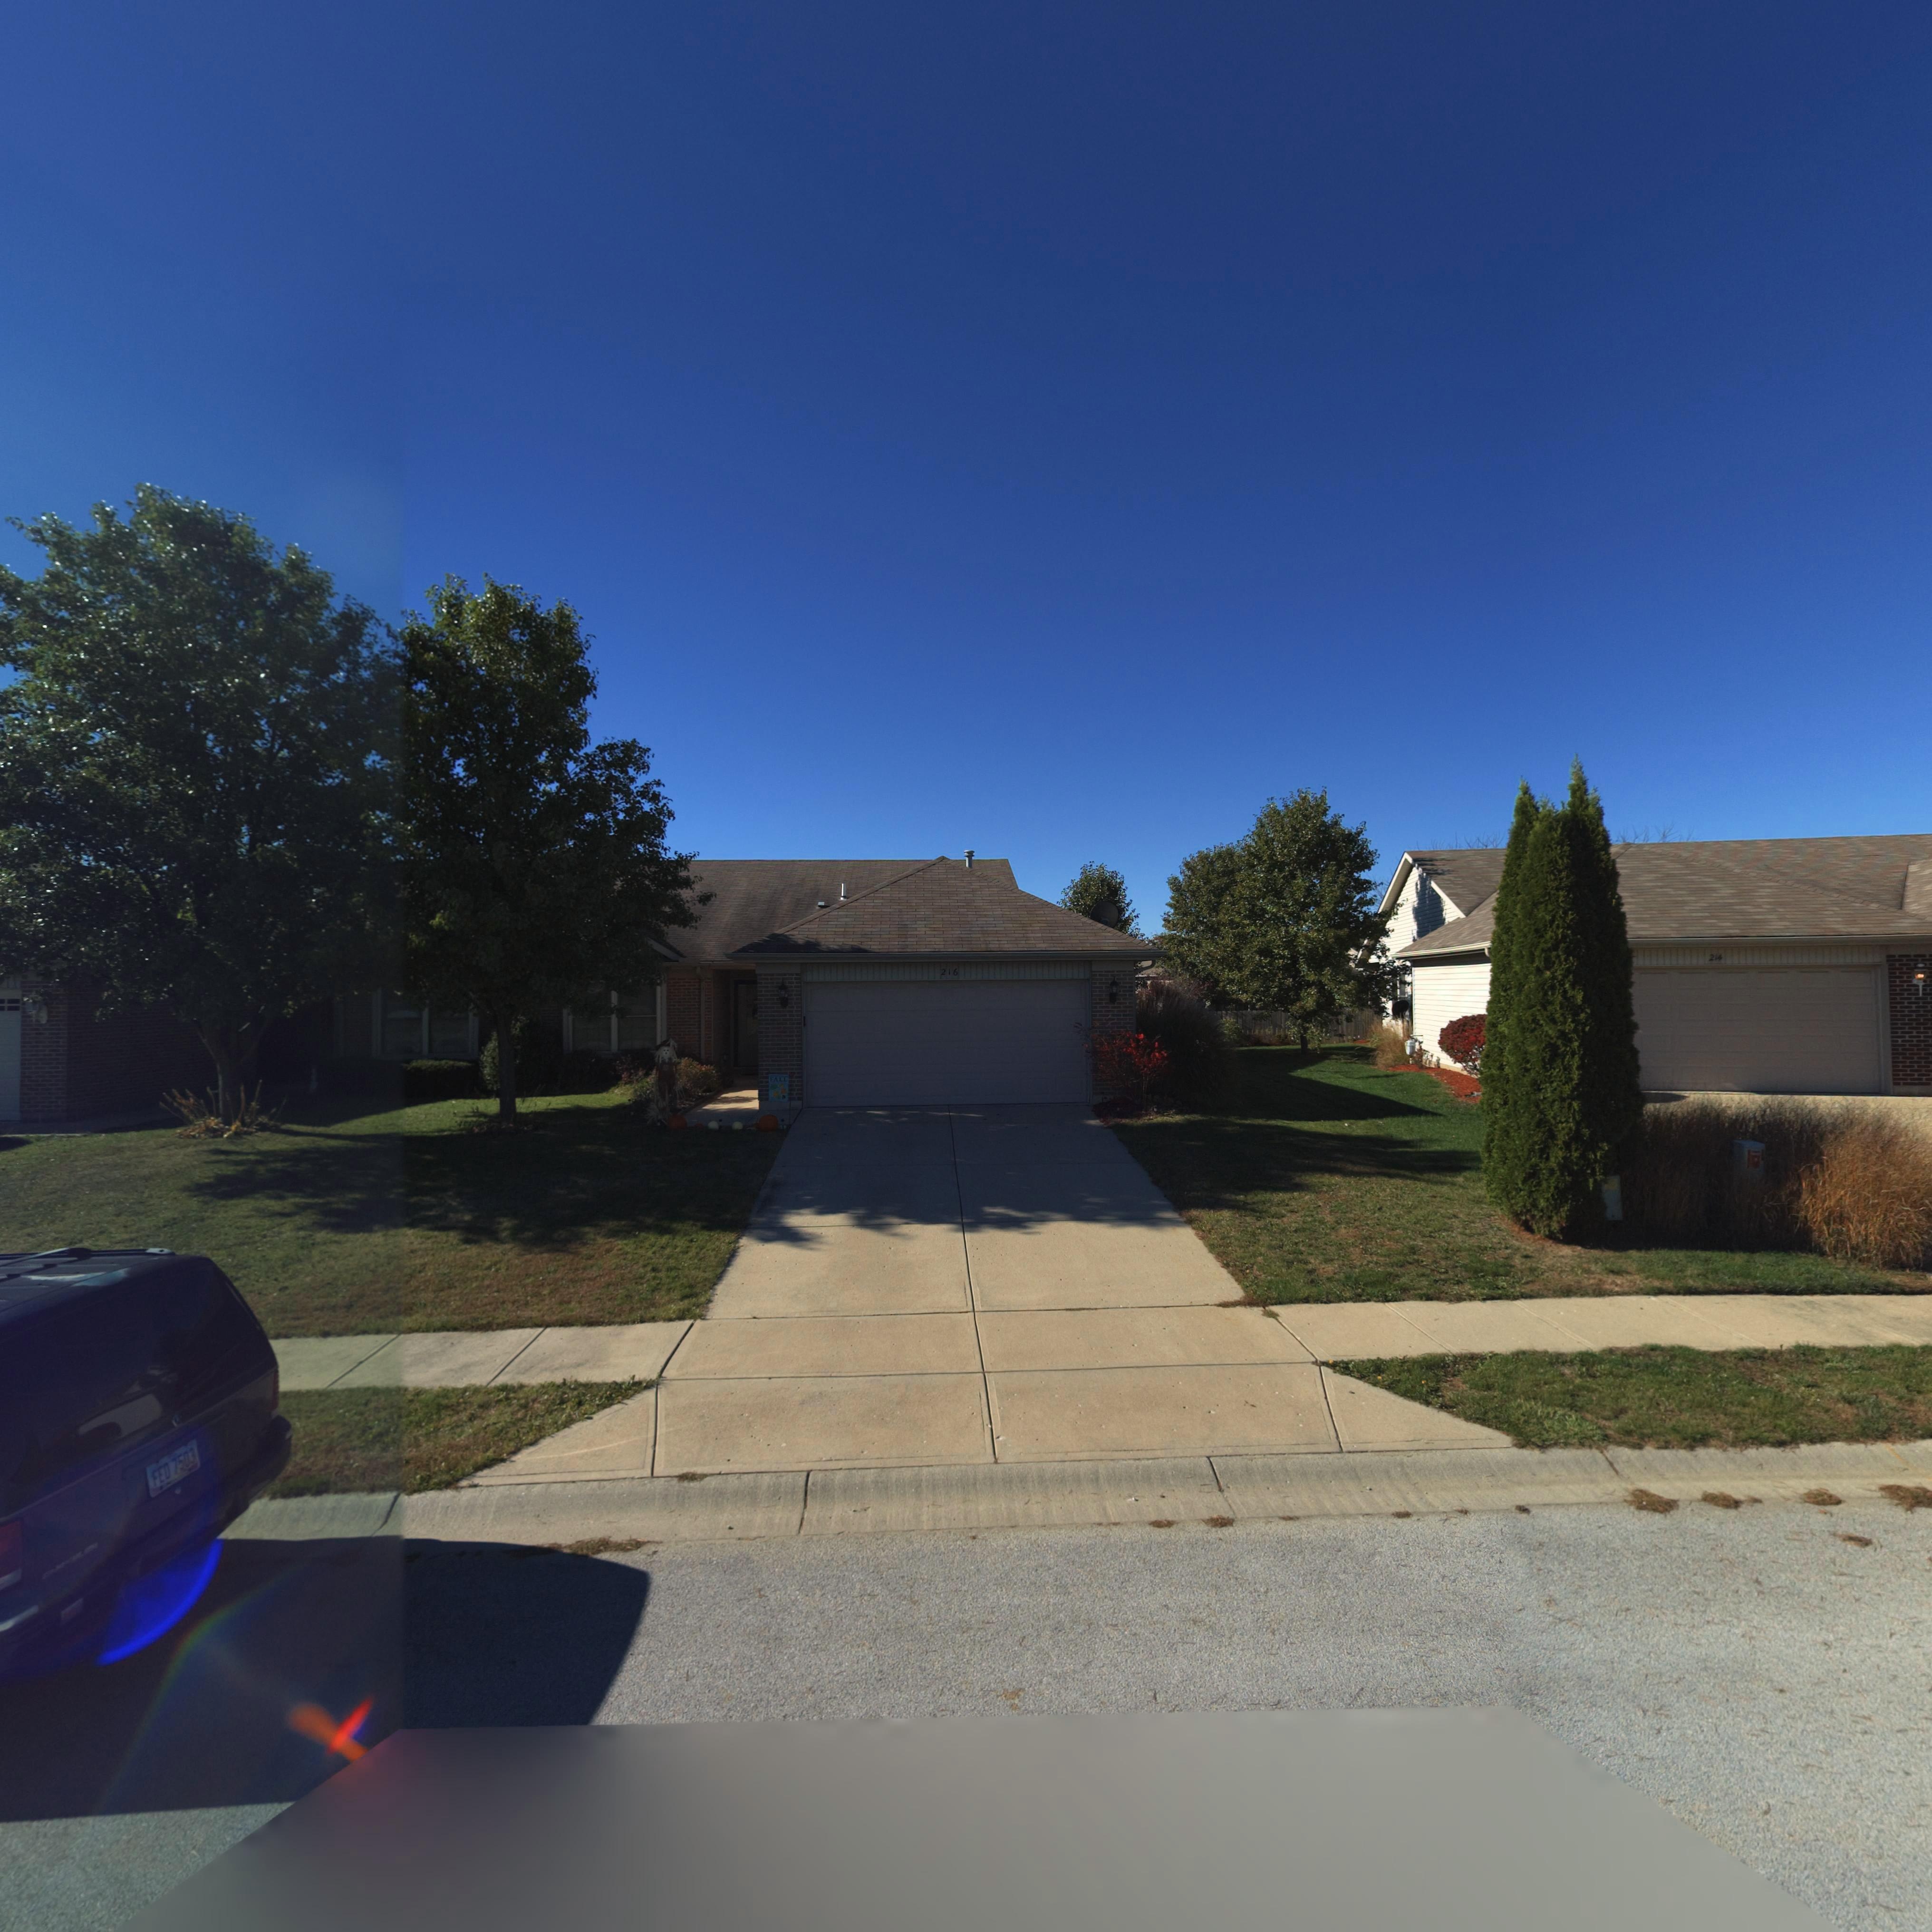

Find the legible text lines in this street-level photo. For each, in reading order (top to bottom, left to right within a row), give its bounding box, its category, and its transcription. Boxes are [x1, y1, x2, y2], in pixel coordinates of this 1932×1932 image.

[1709, 953, 1723, 961] StreetNumber: 214
[940, 967, 958, 976] StreetNumber: 216